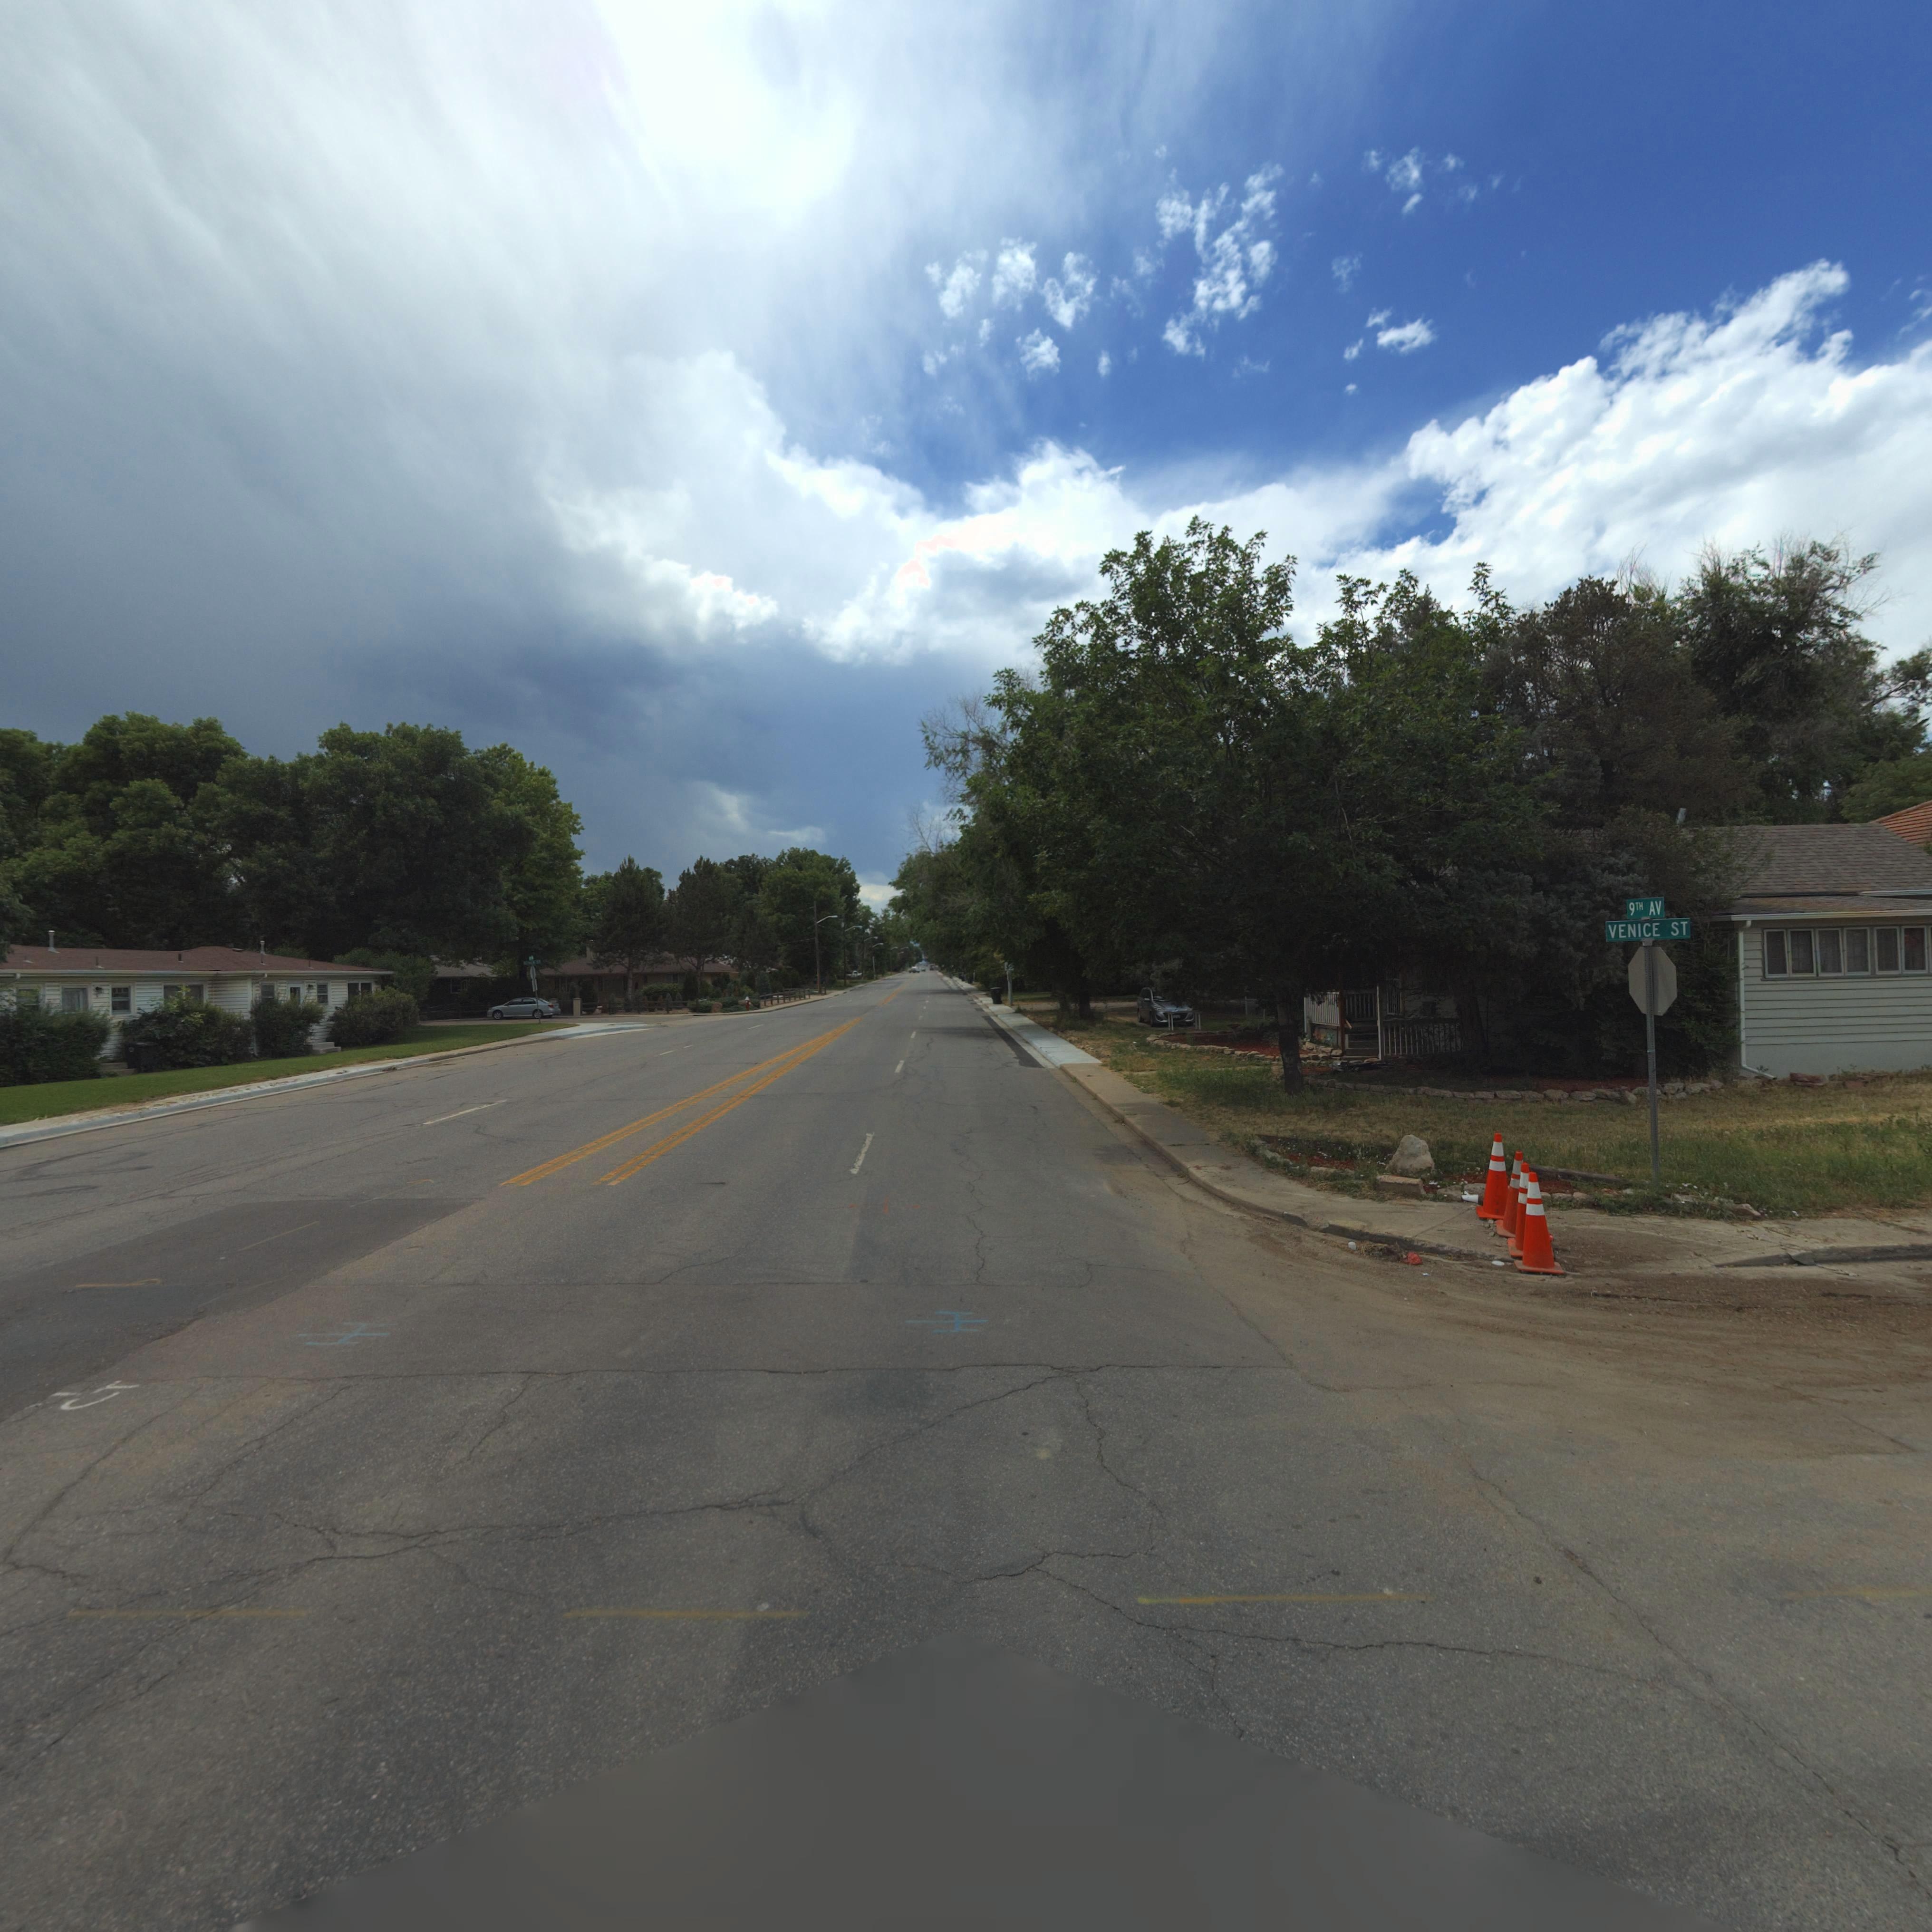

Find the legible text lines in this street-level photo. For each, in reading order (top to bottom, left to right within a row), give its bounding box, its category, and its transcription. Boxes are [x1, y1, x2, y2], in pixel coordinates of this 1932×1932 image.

[1628, 899, 1662, 916] StreetName: 9TH AV
[1608, 921, 1688, 939] StreetName: VENICE ST